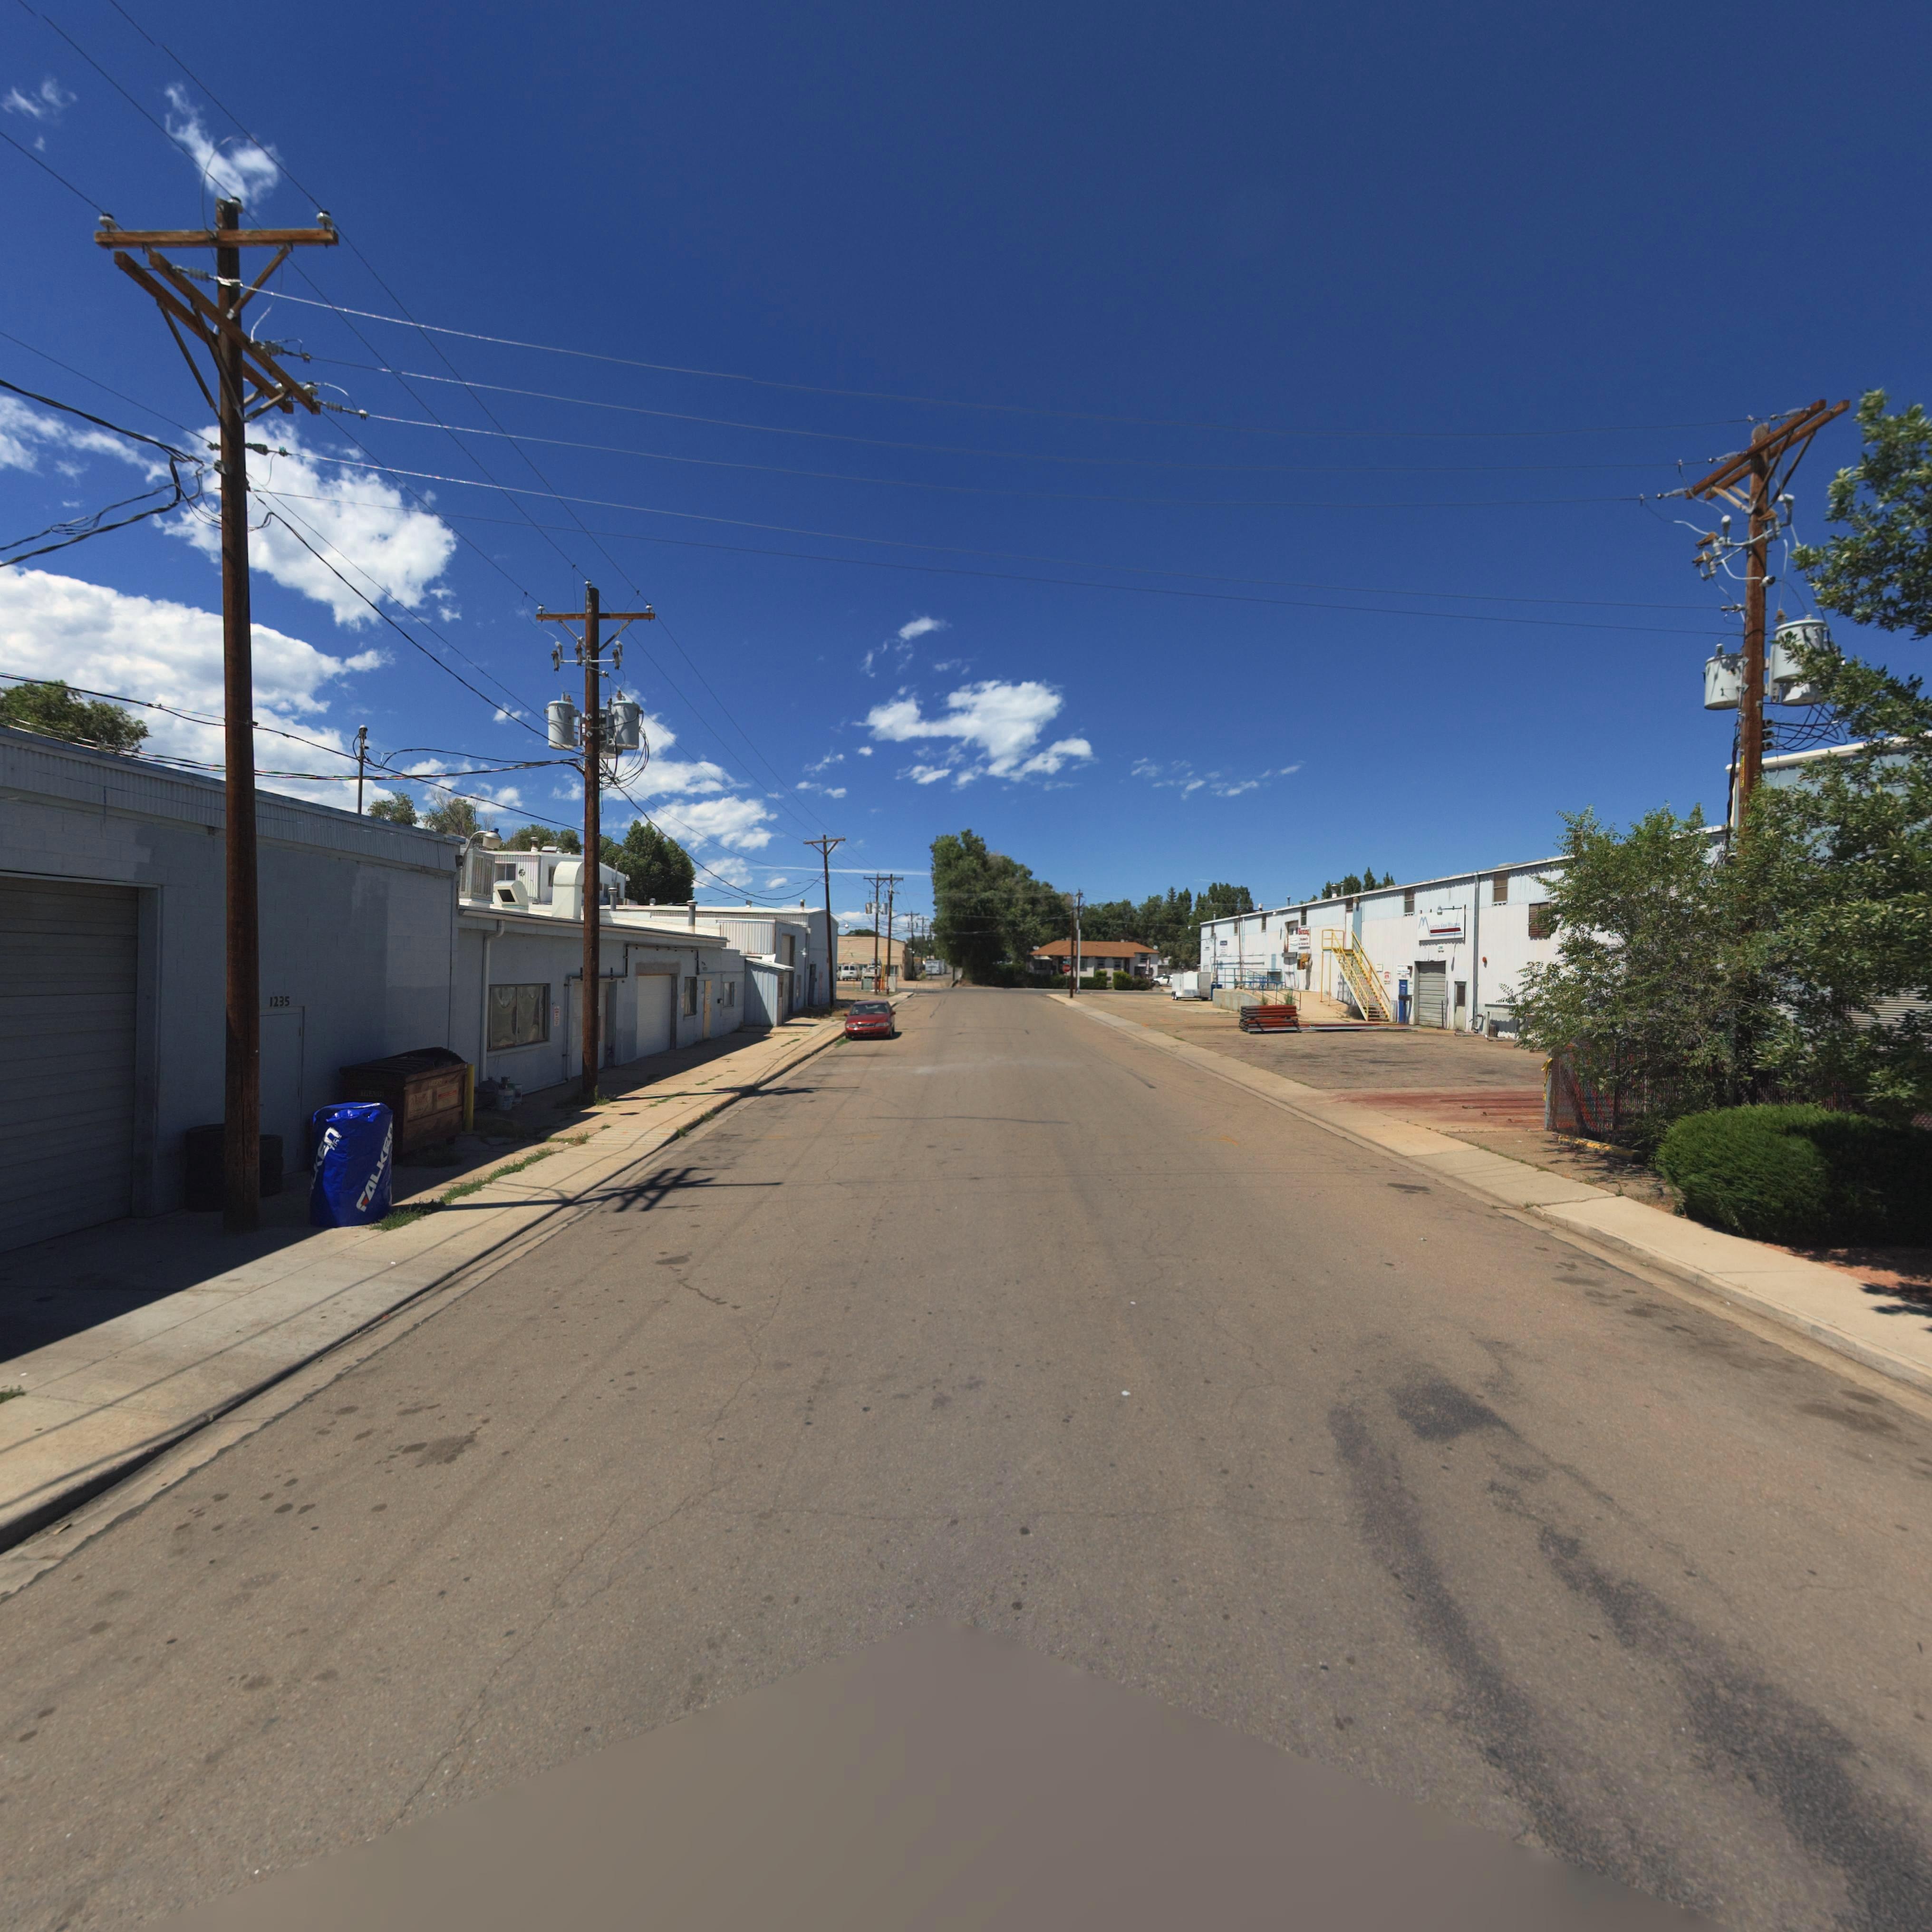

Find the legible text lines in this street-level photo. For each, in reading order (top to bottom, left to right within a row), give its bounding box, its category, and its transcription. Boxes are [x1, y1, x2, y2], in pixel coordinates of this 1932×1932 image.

[270, 996, 290, 1007] StreetNumber: 1235